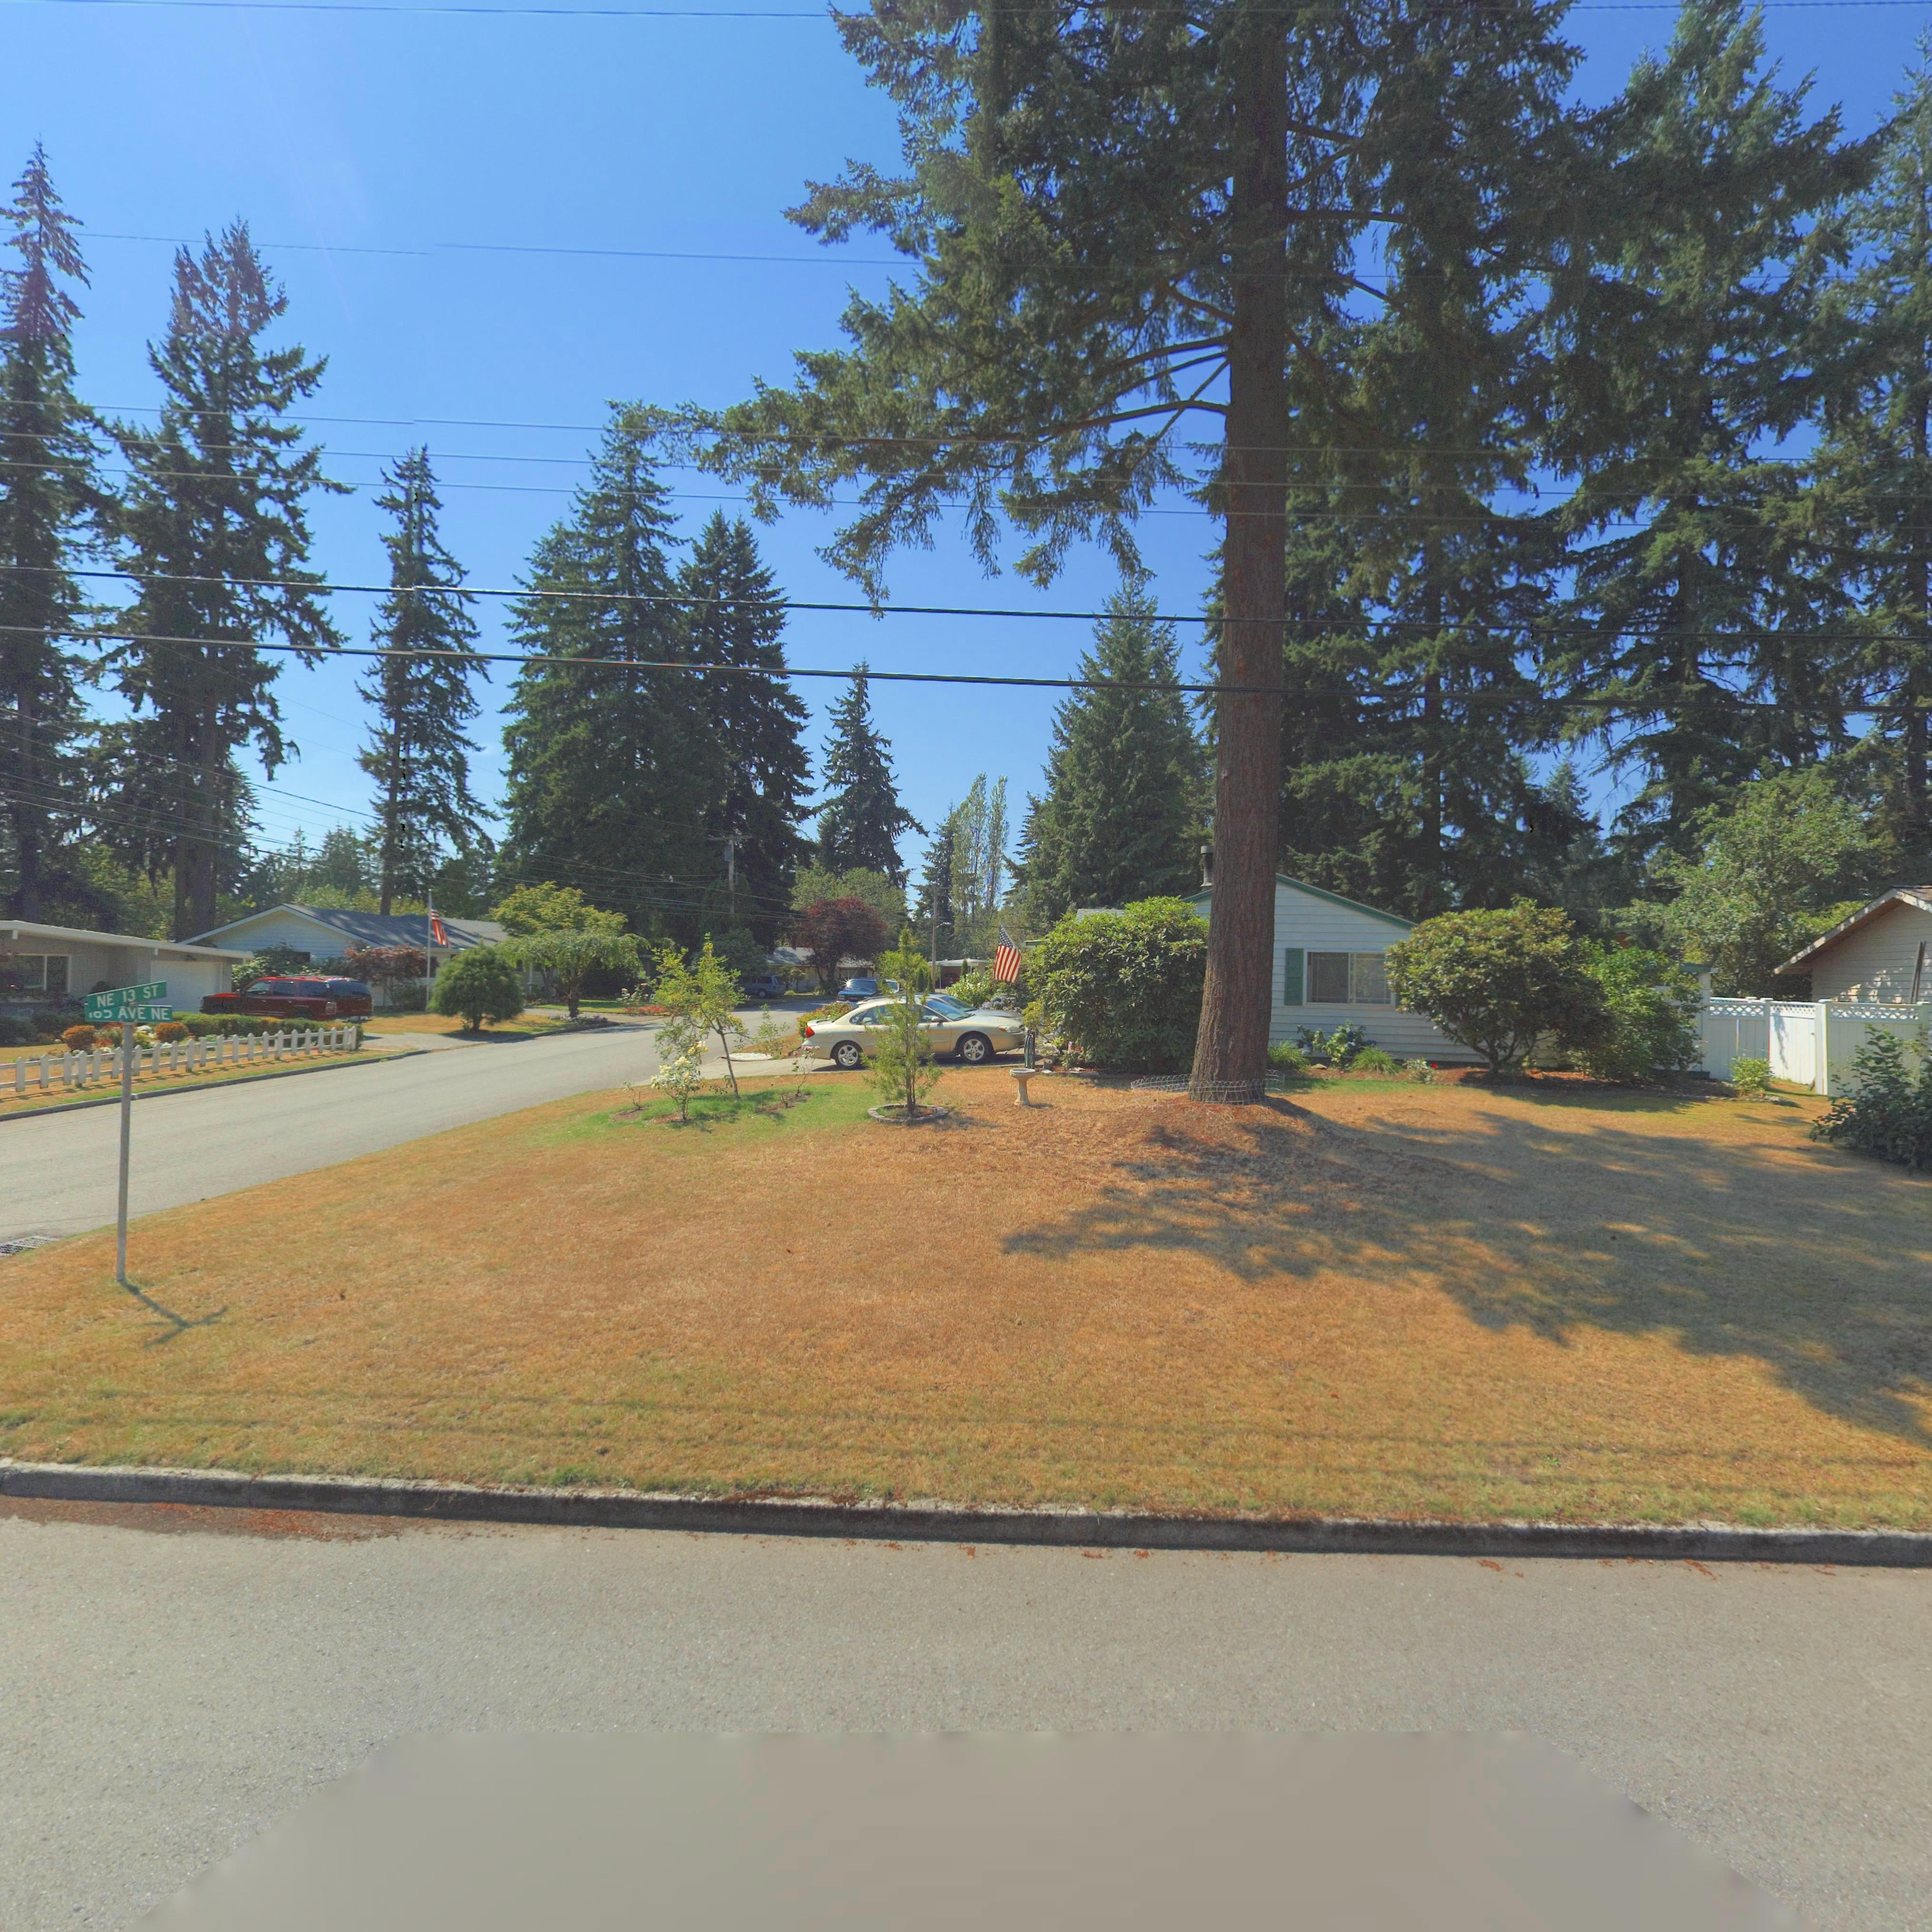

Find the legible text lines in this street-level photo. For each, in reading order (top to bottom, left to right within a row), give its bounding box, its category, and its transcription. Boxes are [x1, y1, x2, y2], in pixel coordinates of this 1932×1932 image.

[96, 984, 158, 1008] StreetName: NE 13 ST
[90, 1006, 169, 1019] StreetName: **5 AVE NE